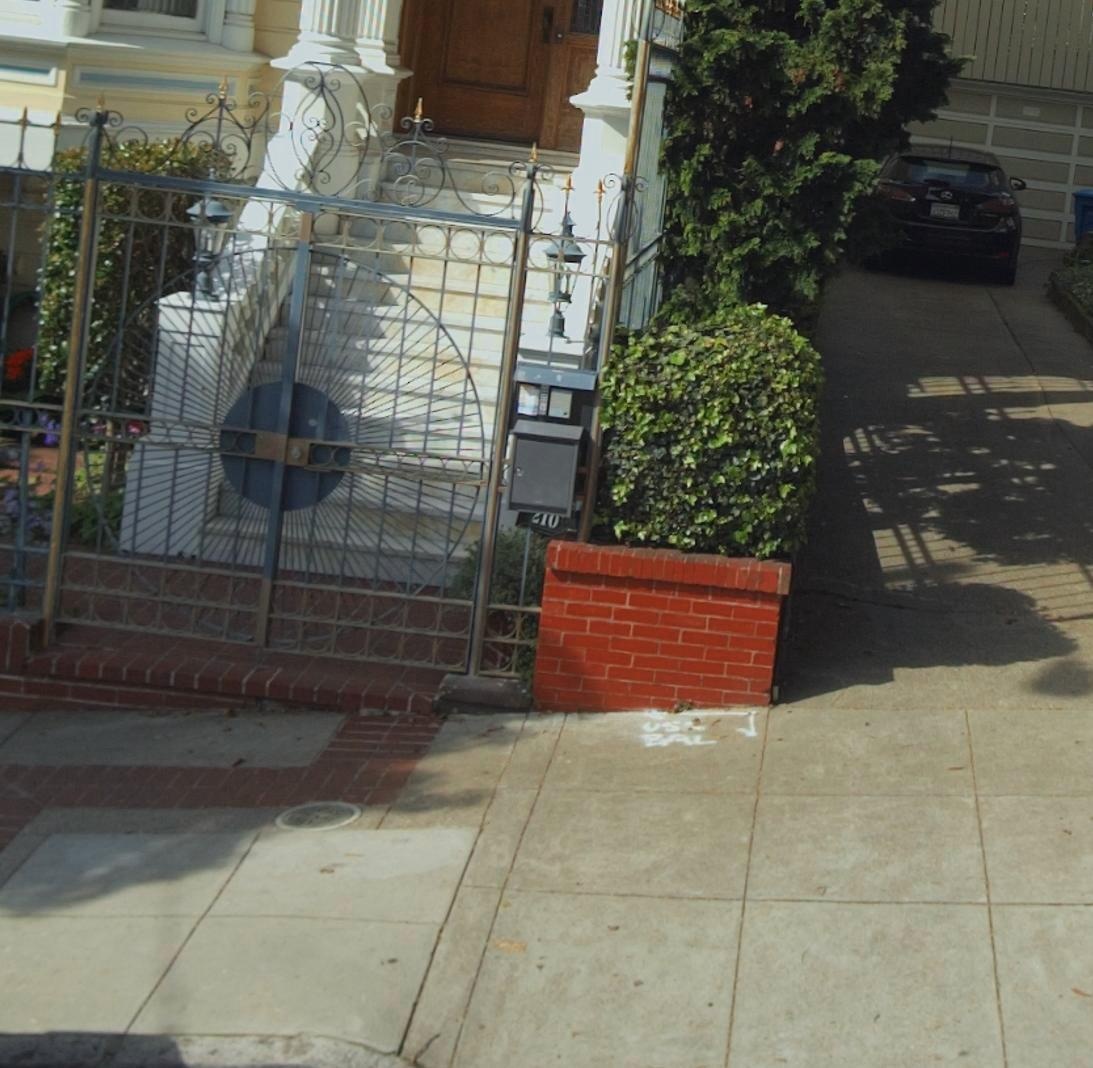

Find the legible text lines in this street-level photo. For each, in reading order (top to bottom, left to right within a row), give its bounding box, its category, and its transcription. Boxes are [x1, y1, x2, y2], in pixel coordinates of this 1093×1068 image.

[546, 512, 562, 531] StreetNumber: 0